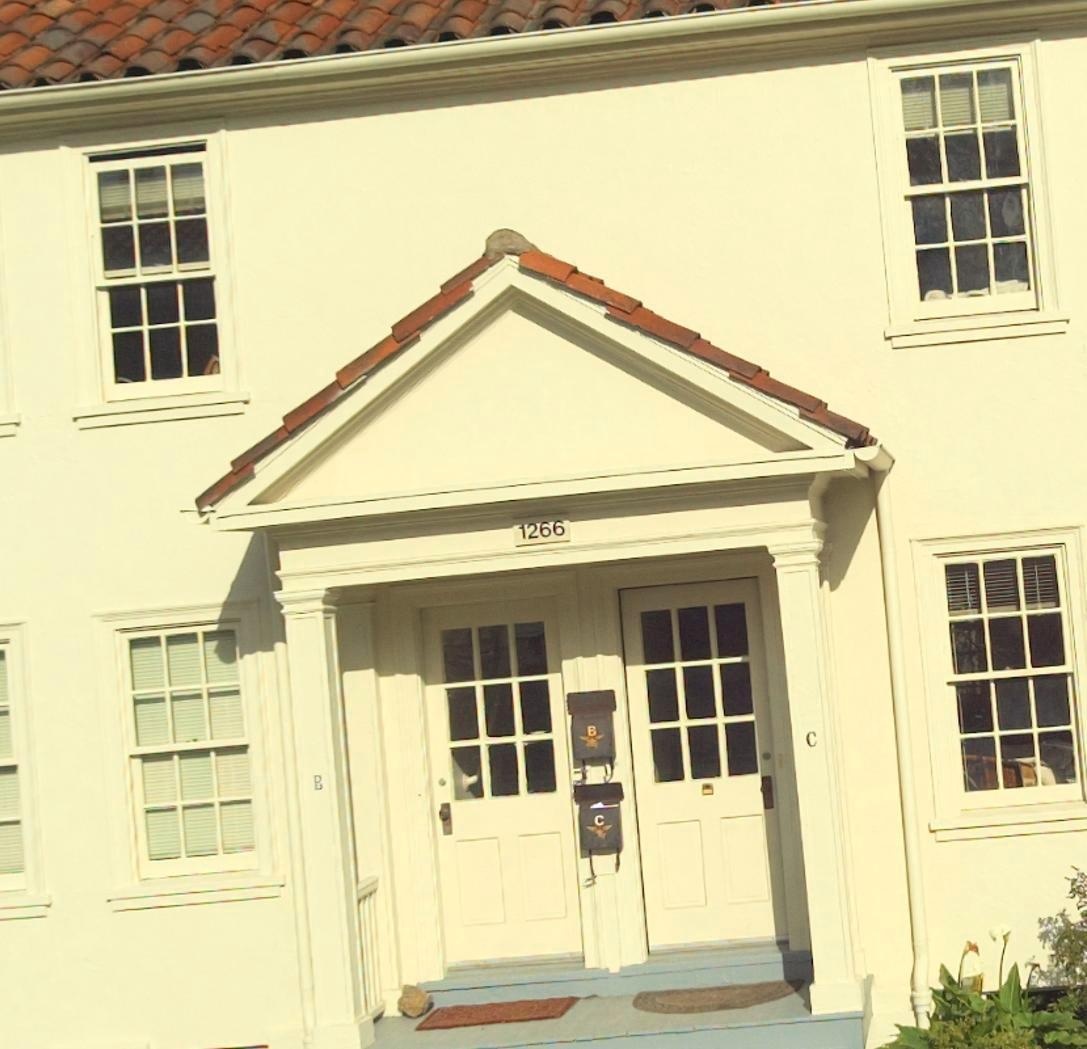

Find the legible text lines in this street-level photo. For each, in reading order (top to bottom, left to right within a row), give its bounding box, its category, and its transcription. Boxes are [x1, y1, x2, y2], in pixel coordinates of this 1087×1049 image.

[515, 518, 568, 541] StreetNumber: 1266
[585, 723, 600, 737] StreetNumber: B
[803, 729, 819, 750] StreetNumber: C
[312, 772, 326, 792] StreetNumber: B
[593, 813, 606, 827] StreetNumber: C